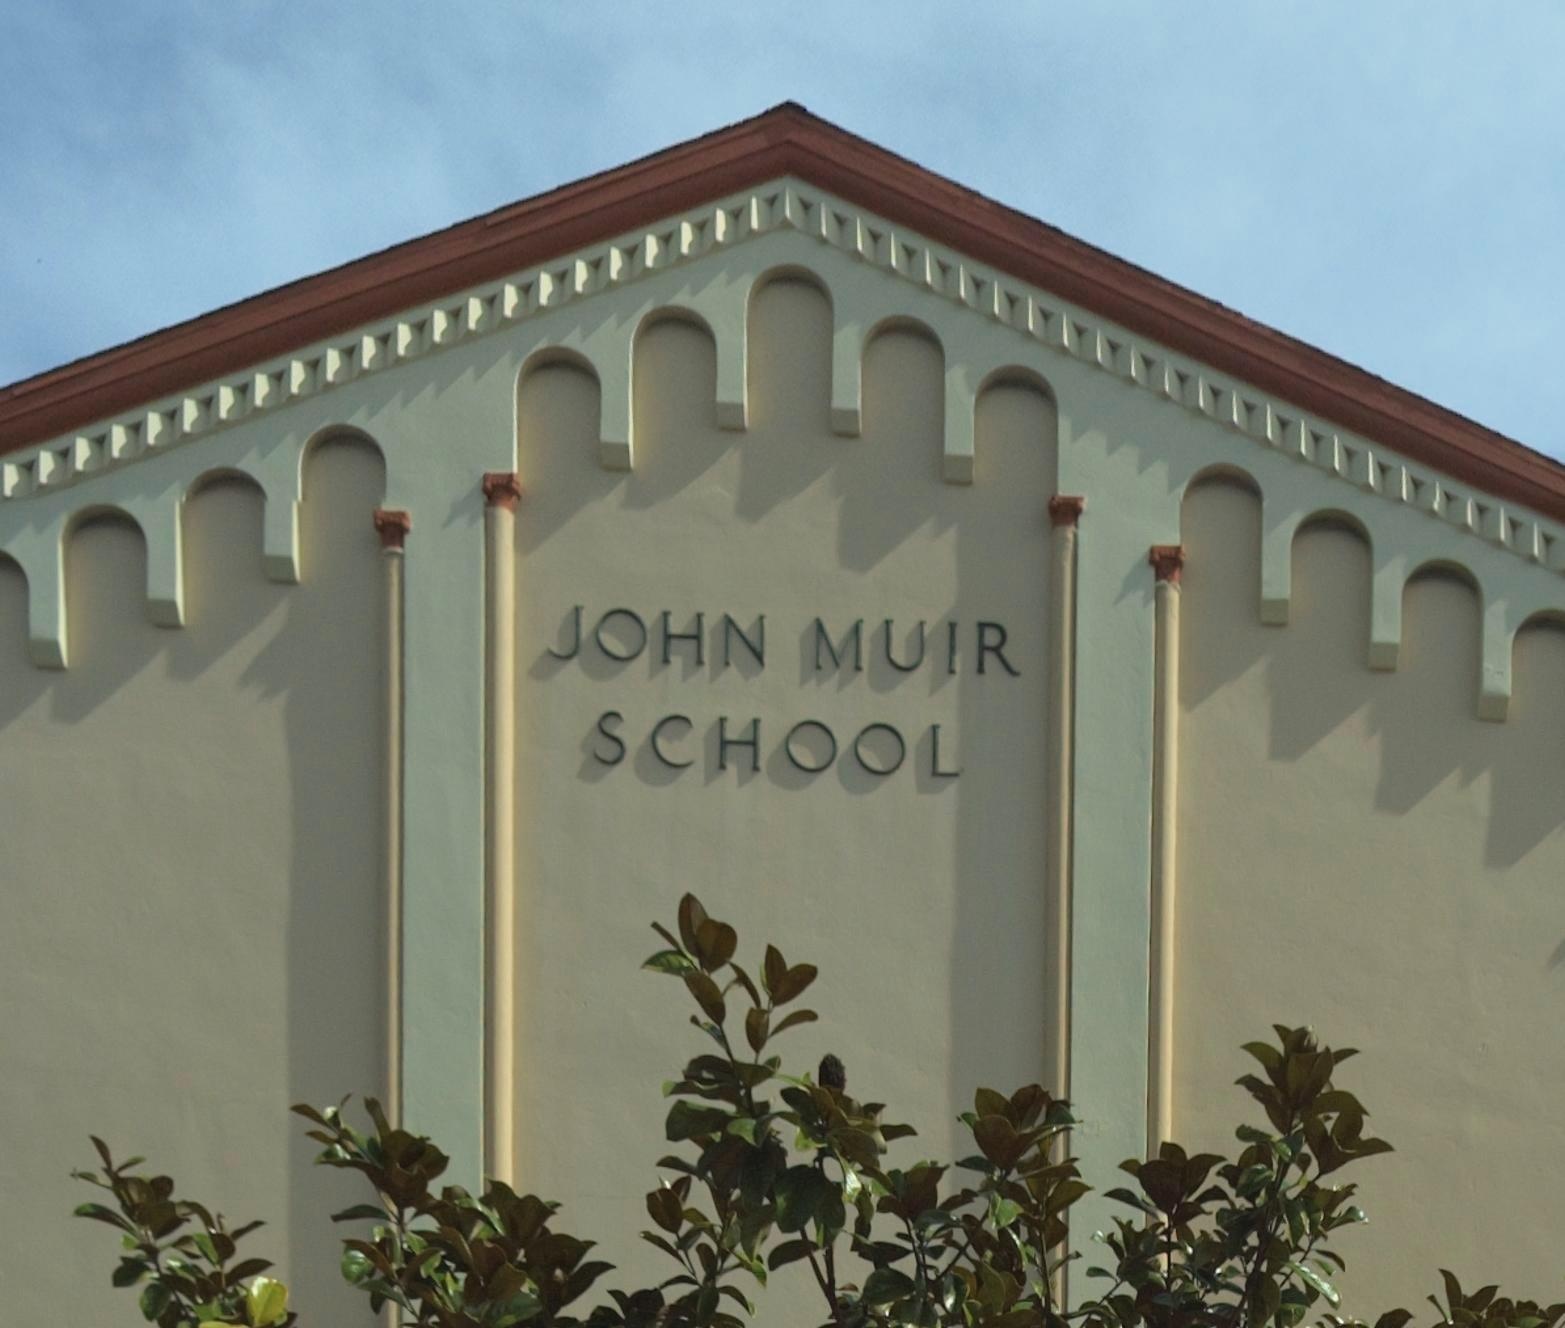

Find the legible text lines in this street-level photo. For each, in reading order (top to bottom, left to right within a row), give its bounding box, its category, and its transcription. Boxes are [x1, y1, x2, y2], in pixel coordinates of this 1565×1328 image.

[540, 601, 1028, 681] BusinessName: JOHN MUIR
[586, 702, 971, 784] BusinessName: SCHOOL